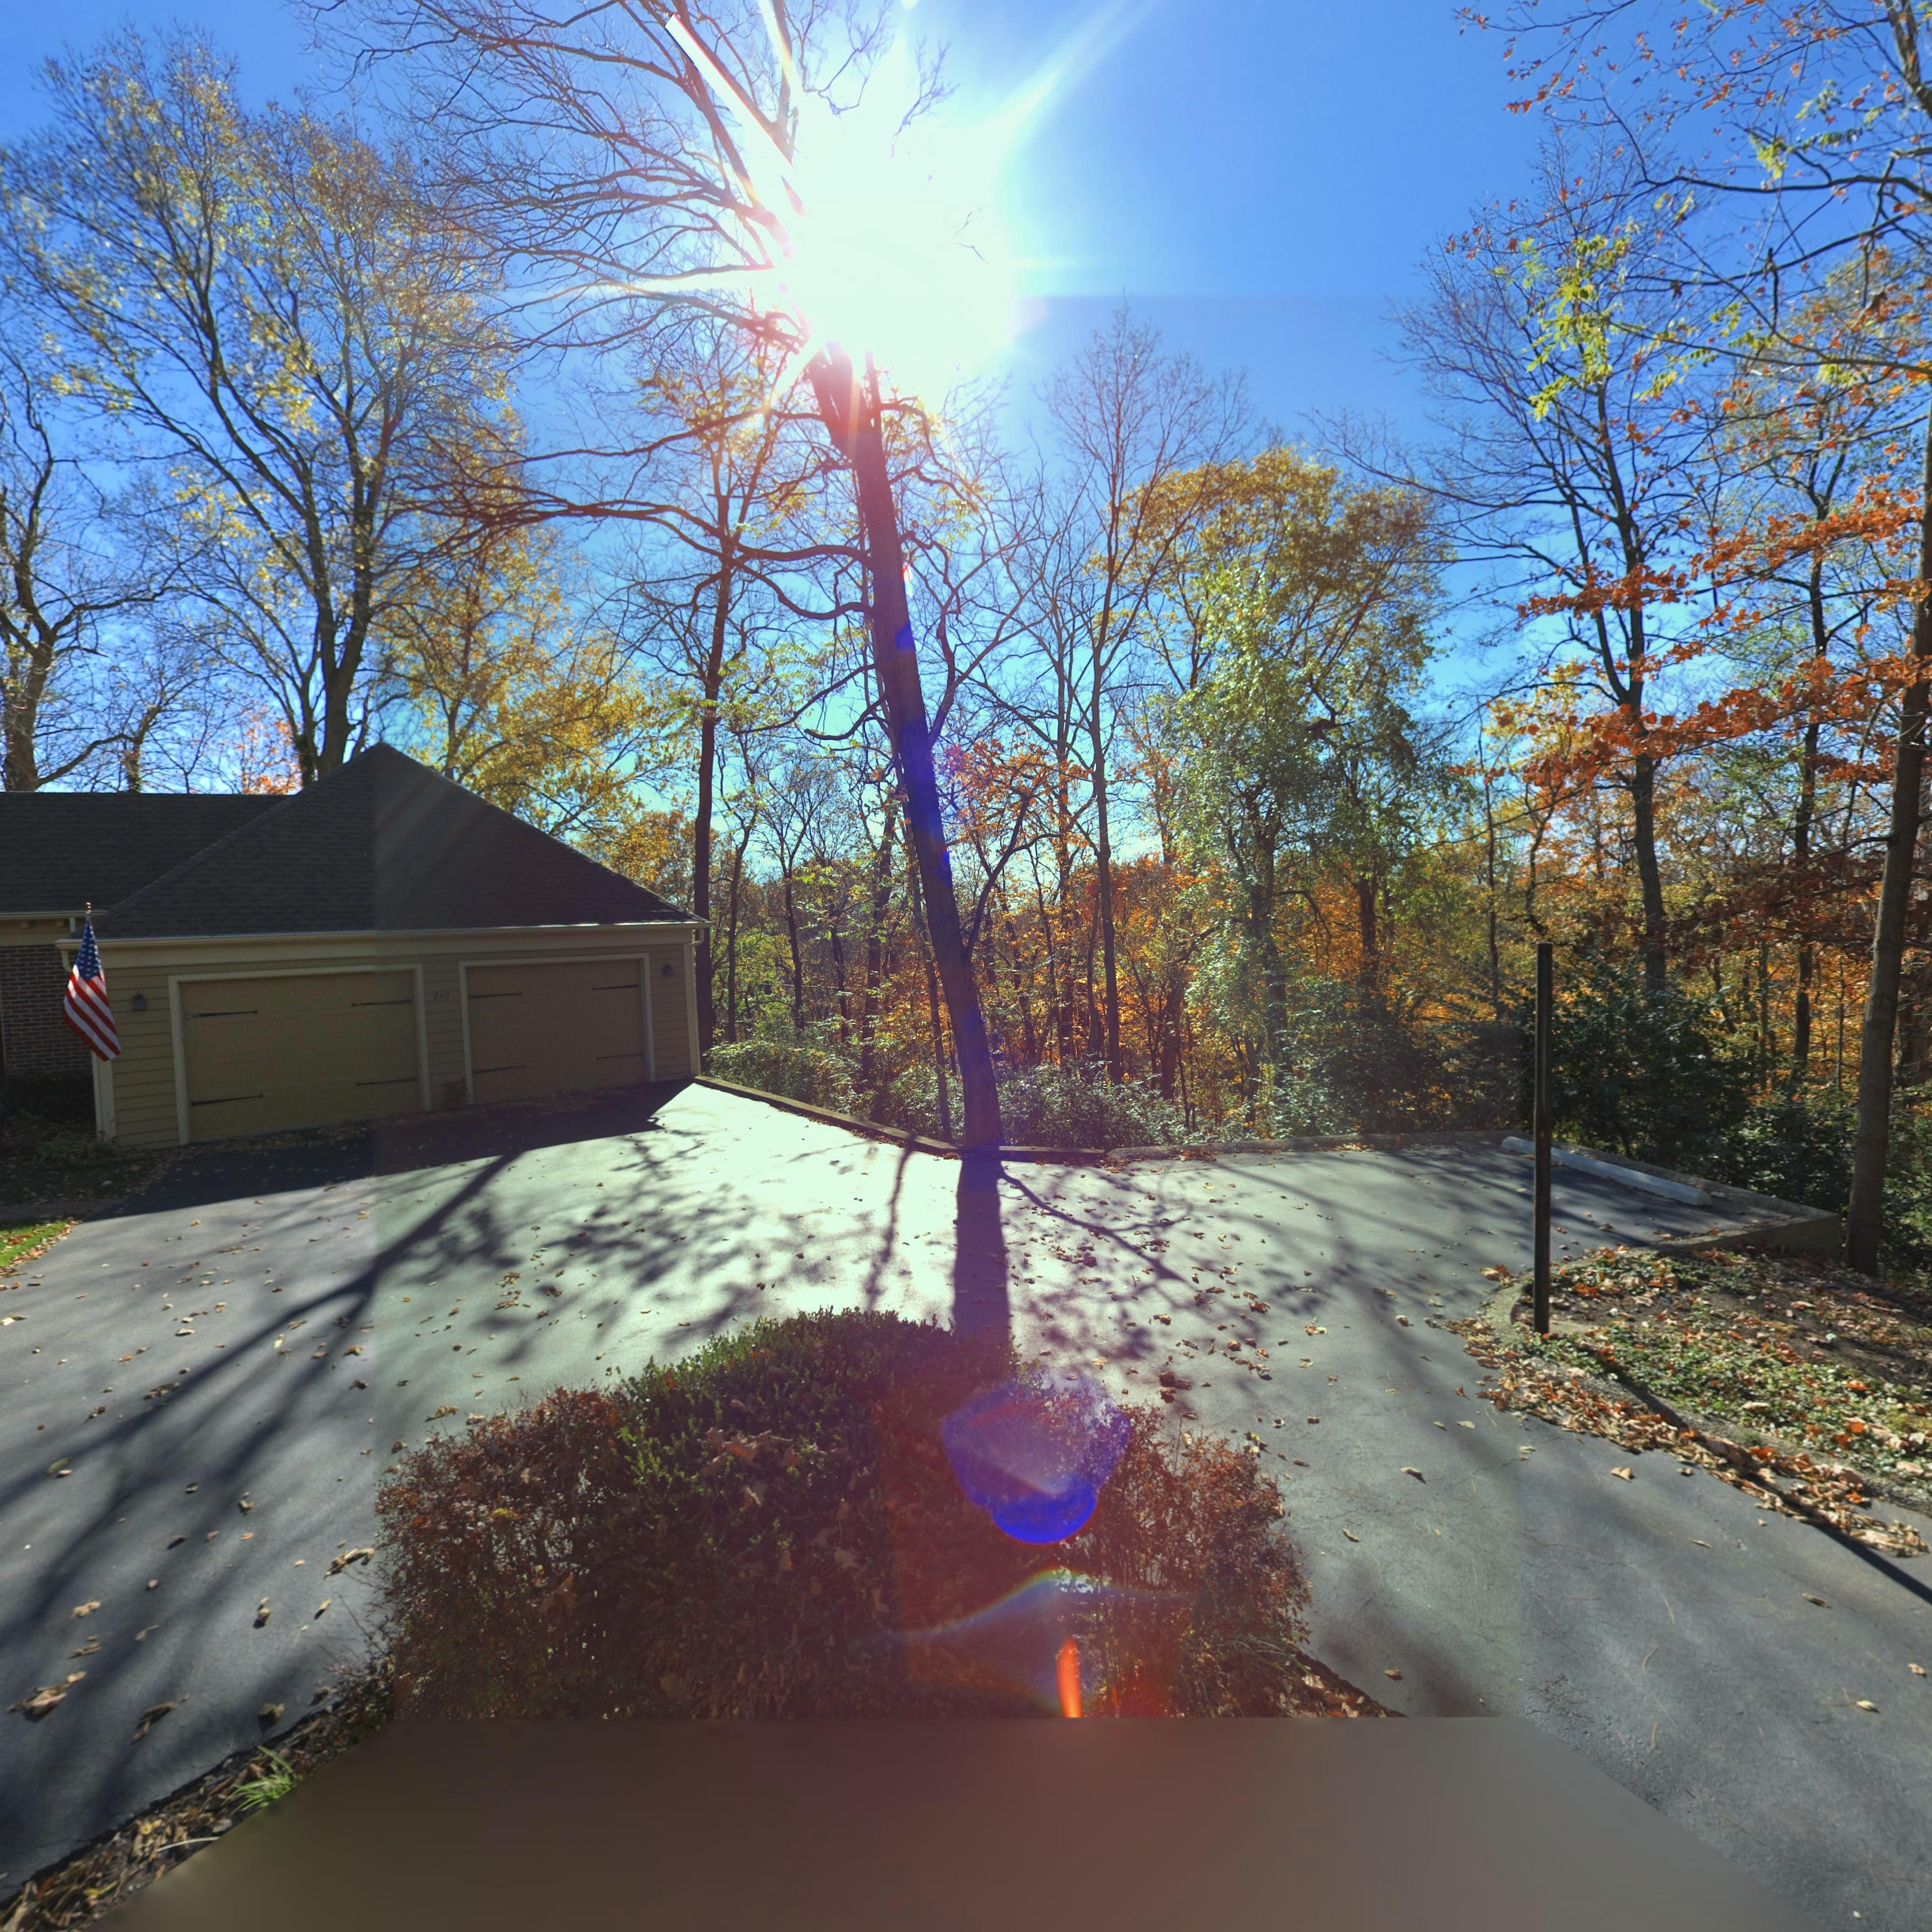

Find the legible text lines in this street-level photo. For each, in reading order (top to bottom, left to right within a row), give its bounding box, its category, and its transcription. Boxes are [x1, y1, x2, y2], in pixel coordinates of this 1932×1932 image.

[433, 991, 452, 1001] StreetNumber: 849